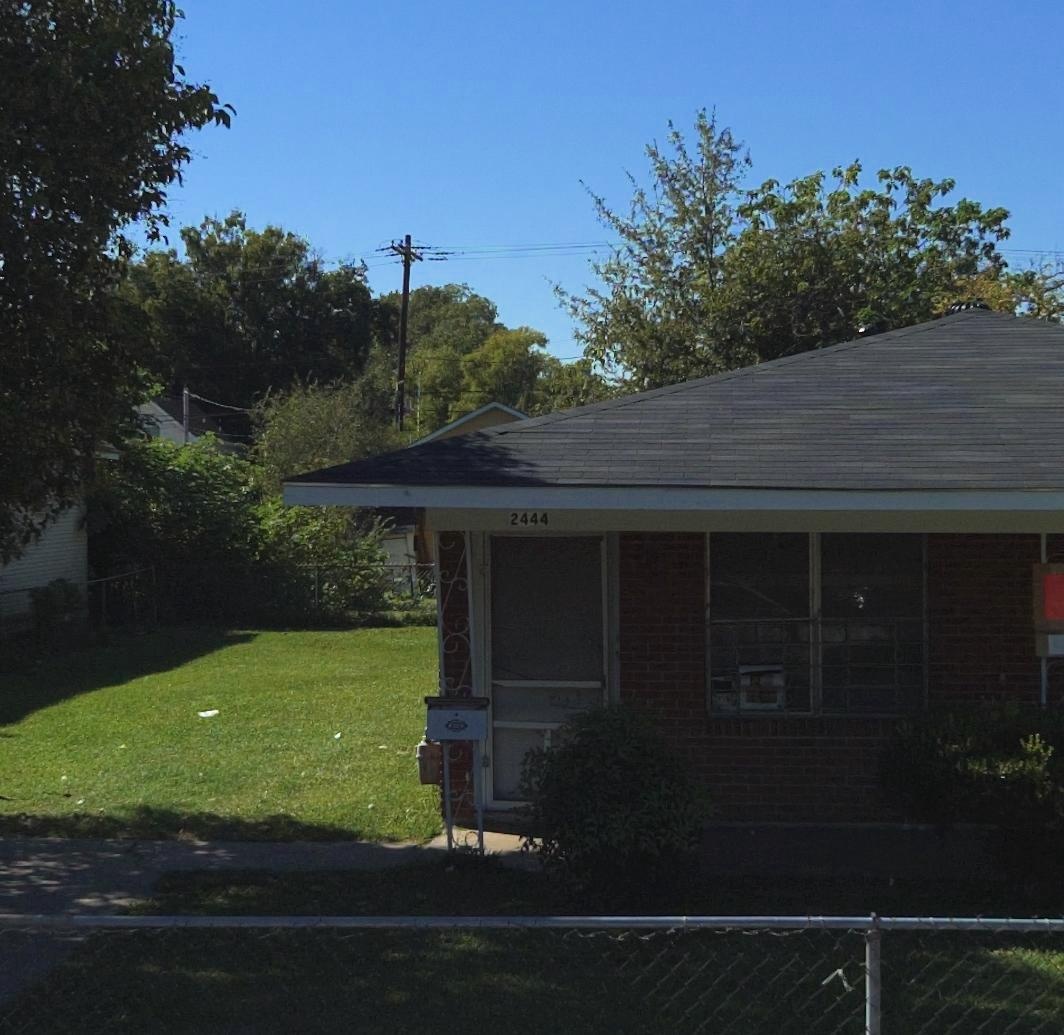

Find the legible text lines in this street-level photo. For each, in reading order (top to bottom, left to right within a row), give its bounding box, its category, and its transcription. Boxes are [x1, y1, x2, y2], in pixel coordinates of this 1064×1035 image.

[508, 510, 550, 527] StreetNumber: 2444